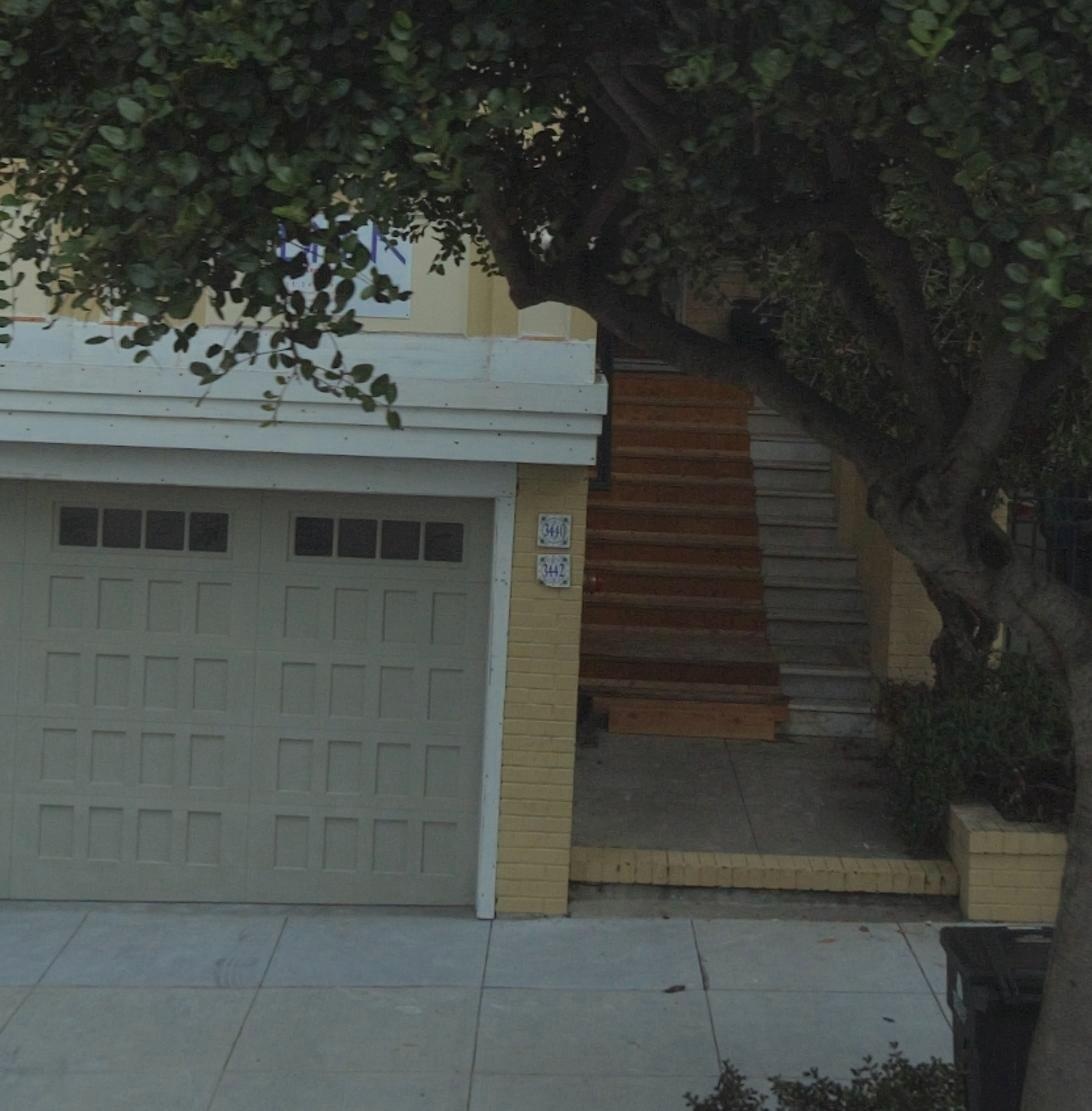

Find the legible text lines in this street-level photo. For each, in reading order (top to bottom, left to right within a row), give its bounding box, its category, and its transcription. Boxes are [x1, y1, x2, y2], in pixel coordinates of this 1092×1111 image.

[540, 521, 568, 539] StreetNumber: 3440
[540, 561, 567, 579] StreetNumber: 3442